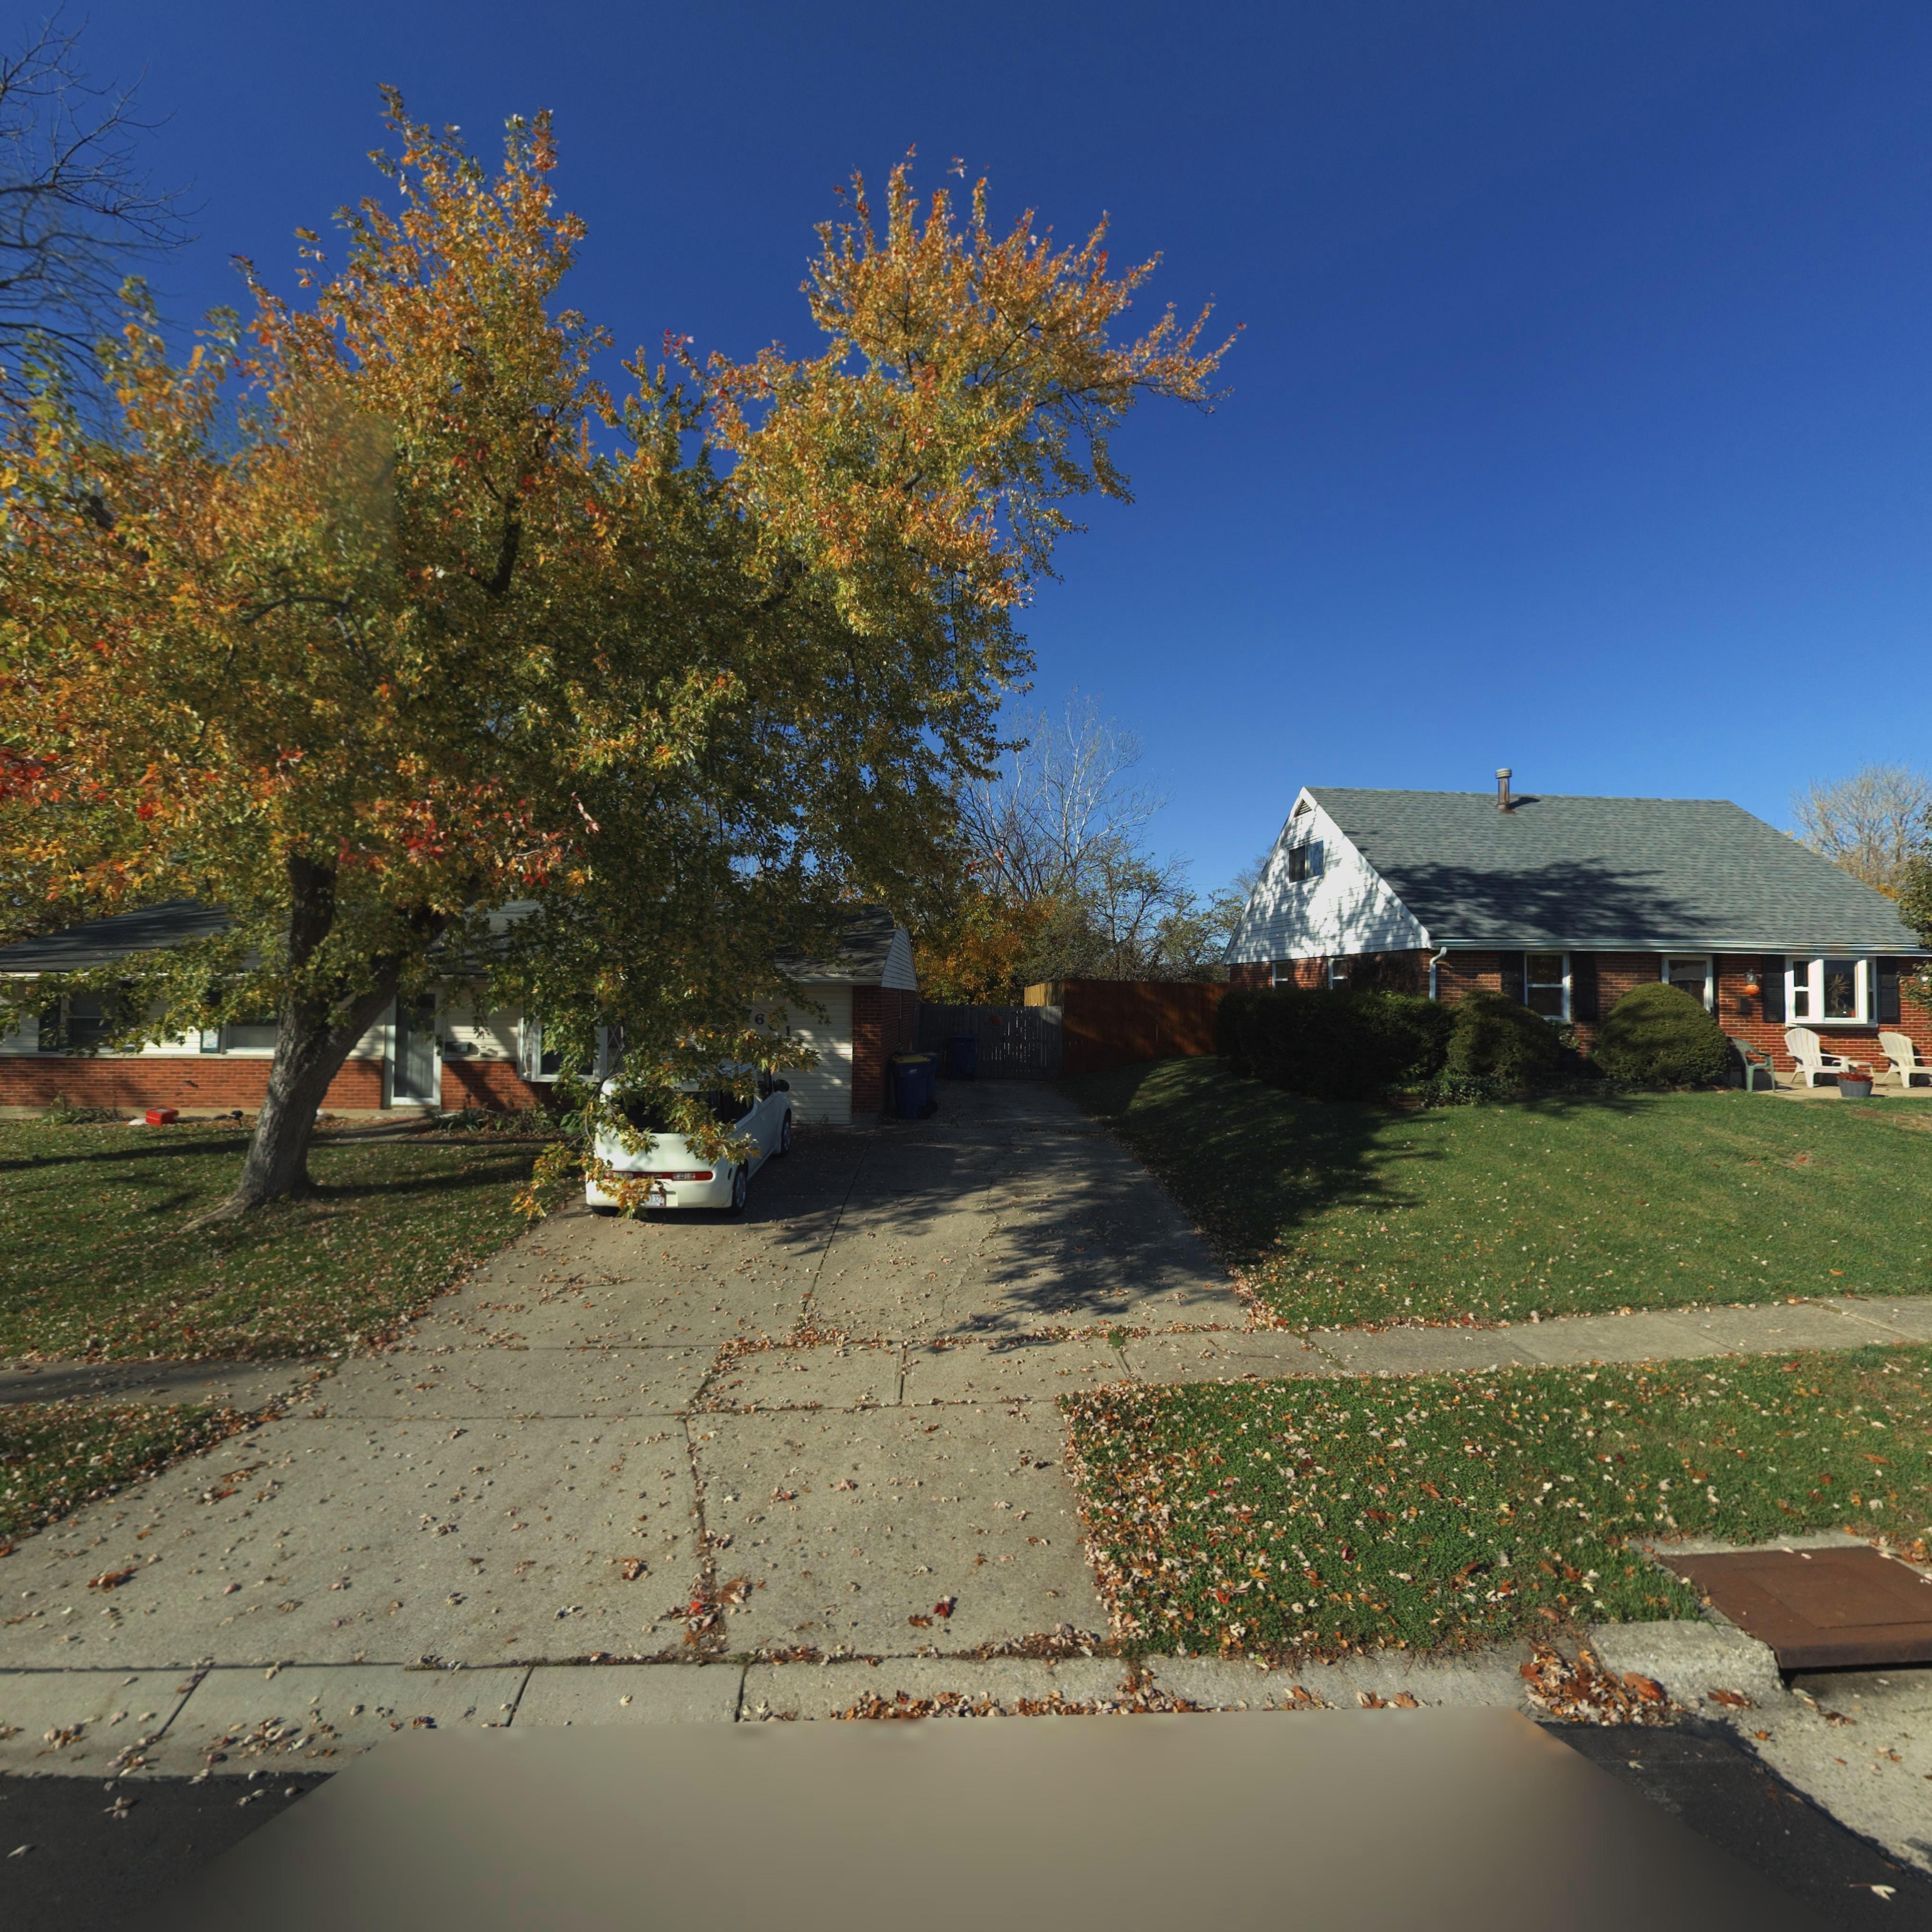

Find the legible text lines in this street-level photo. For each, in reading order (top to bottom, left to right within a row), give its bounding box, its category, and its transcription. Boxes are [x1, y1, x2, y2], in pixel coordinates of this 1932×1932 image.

[743, 1008, 792, 1038] StreetNumber: *6*1
[1765, 1014, 1780, 1023] StreetNumber: *60*